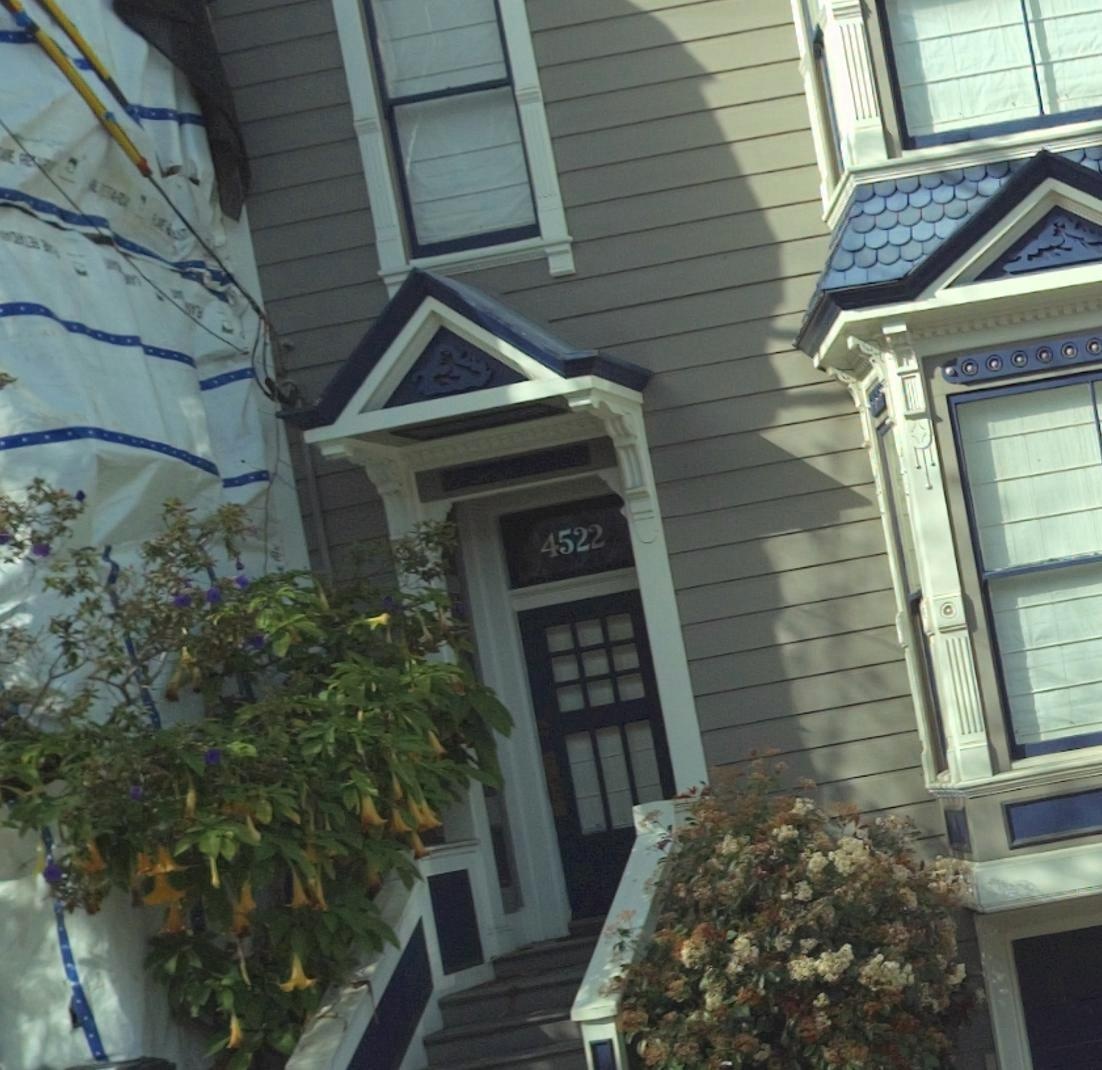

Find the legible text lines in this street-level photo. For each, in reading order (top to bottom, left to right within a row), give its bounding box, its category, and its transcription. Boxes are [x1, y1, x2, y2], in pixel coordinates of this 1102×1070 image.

[536, 521, 609, 561] StreetNumber: 4522